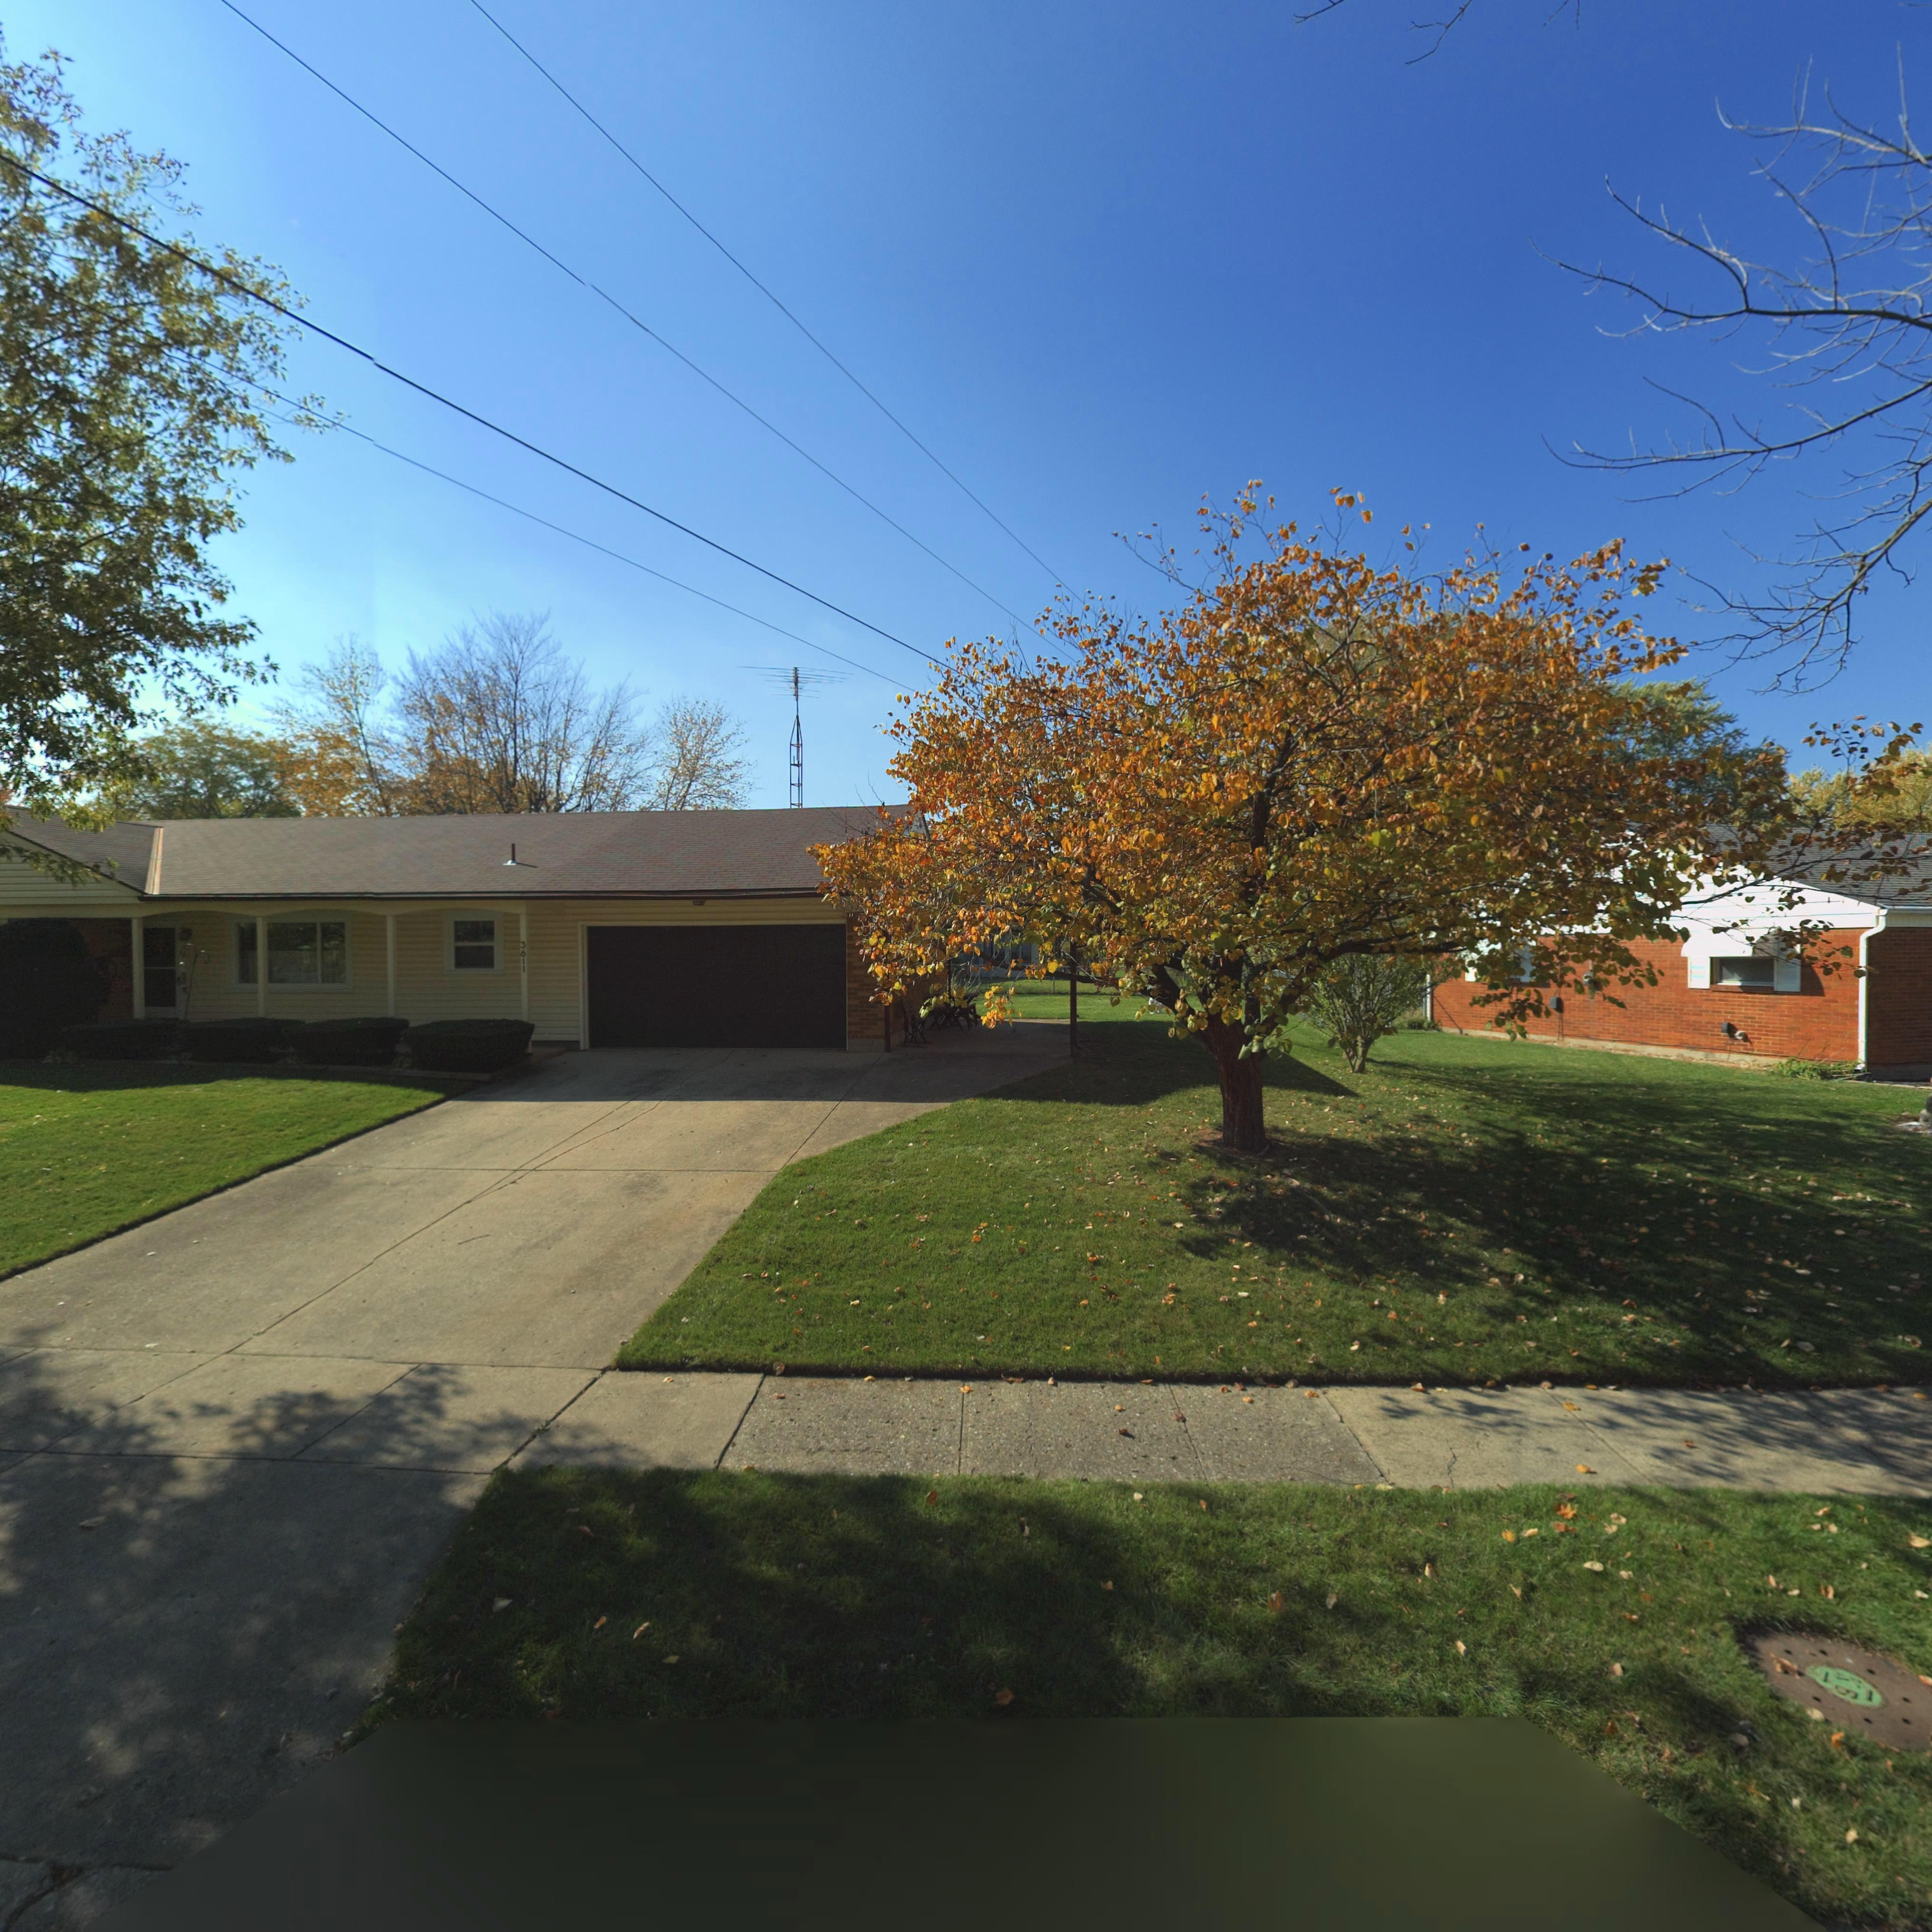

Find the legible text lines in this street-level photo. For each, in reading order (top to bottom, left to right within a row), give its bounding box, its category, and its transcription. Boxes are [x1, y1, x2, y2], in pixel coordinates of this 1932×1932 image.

[520, 940, 527, 974] StreetNumber: 3611